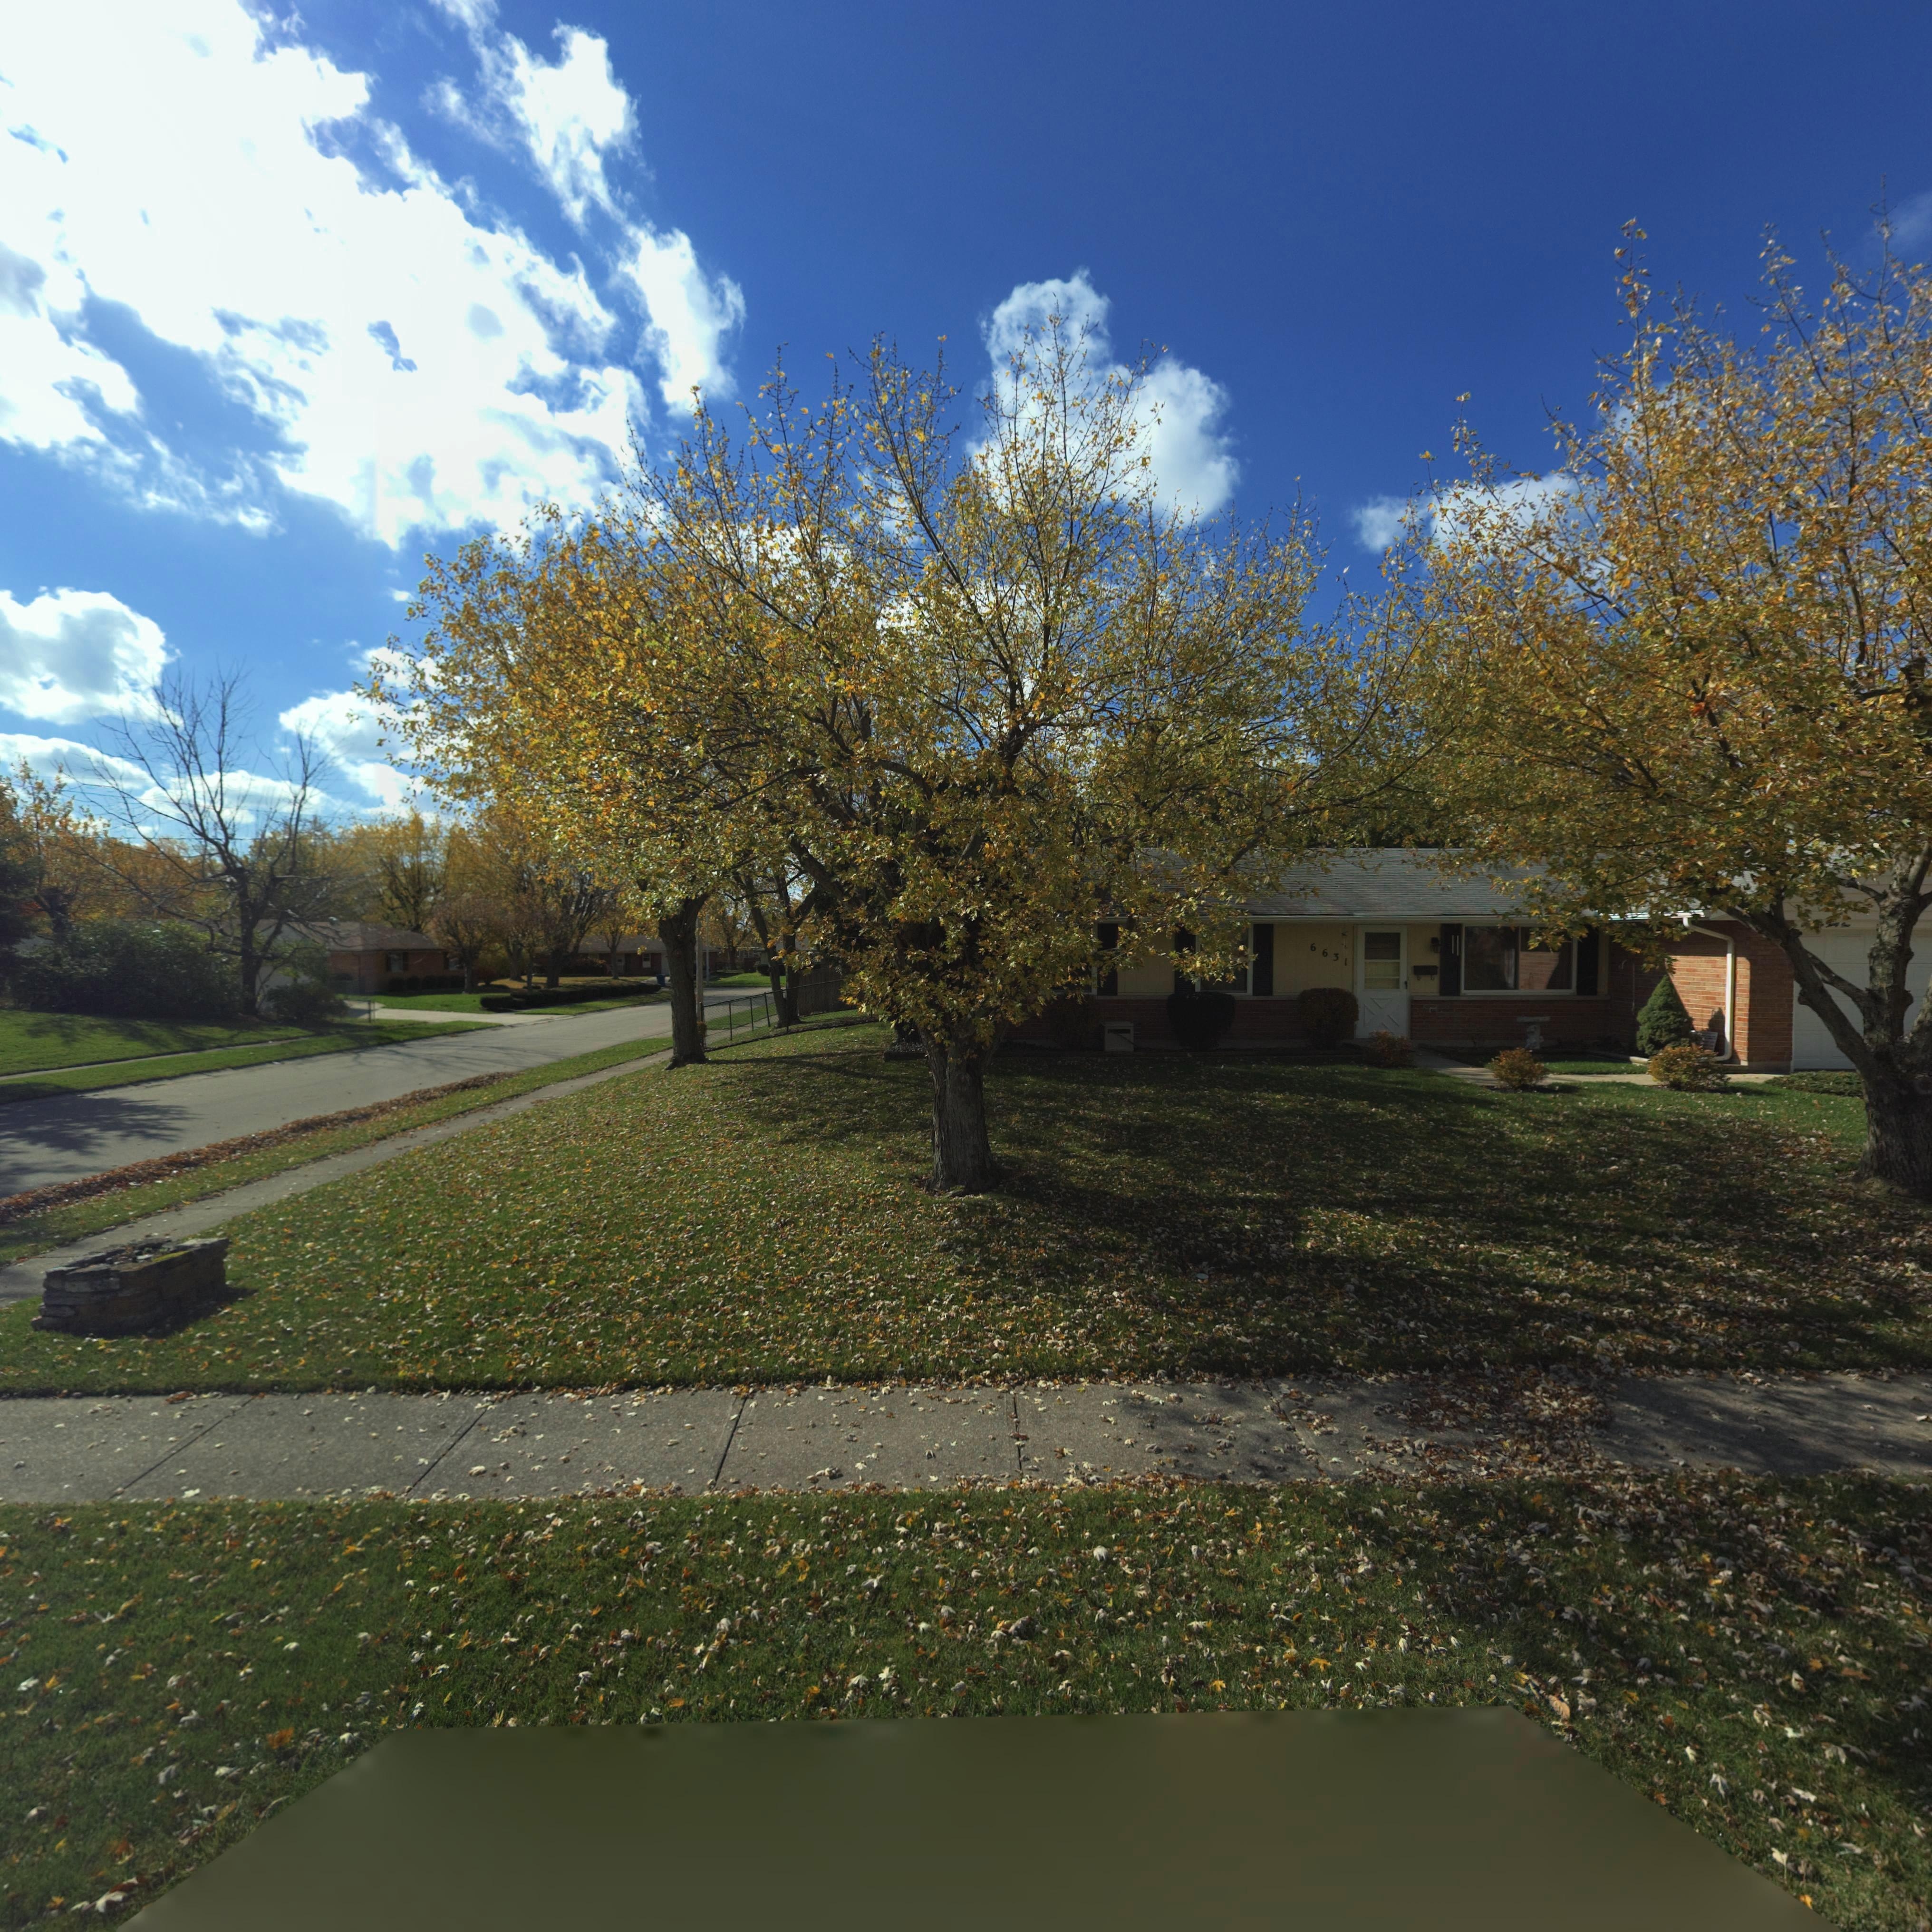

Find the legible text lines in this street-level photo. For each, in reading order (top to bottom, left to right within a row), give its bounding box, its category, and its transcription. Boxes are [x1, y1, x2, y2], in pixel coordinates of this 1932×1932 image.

[1838, 921, 1851, 929] StreetNumber: One
[1310, 942, 1348, 967] StreetNumber: 6631